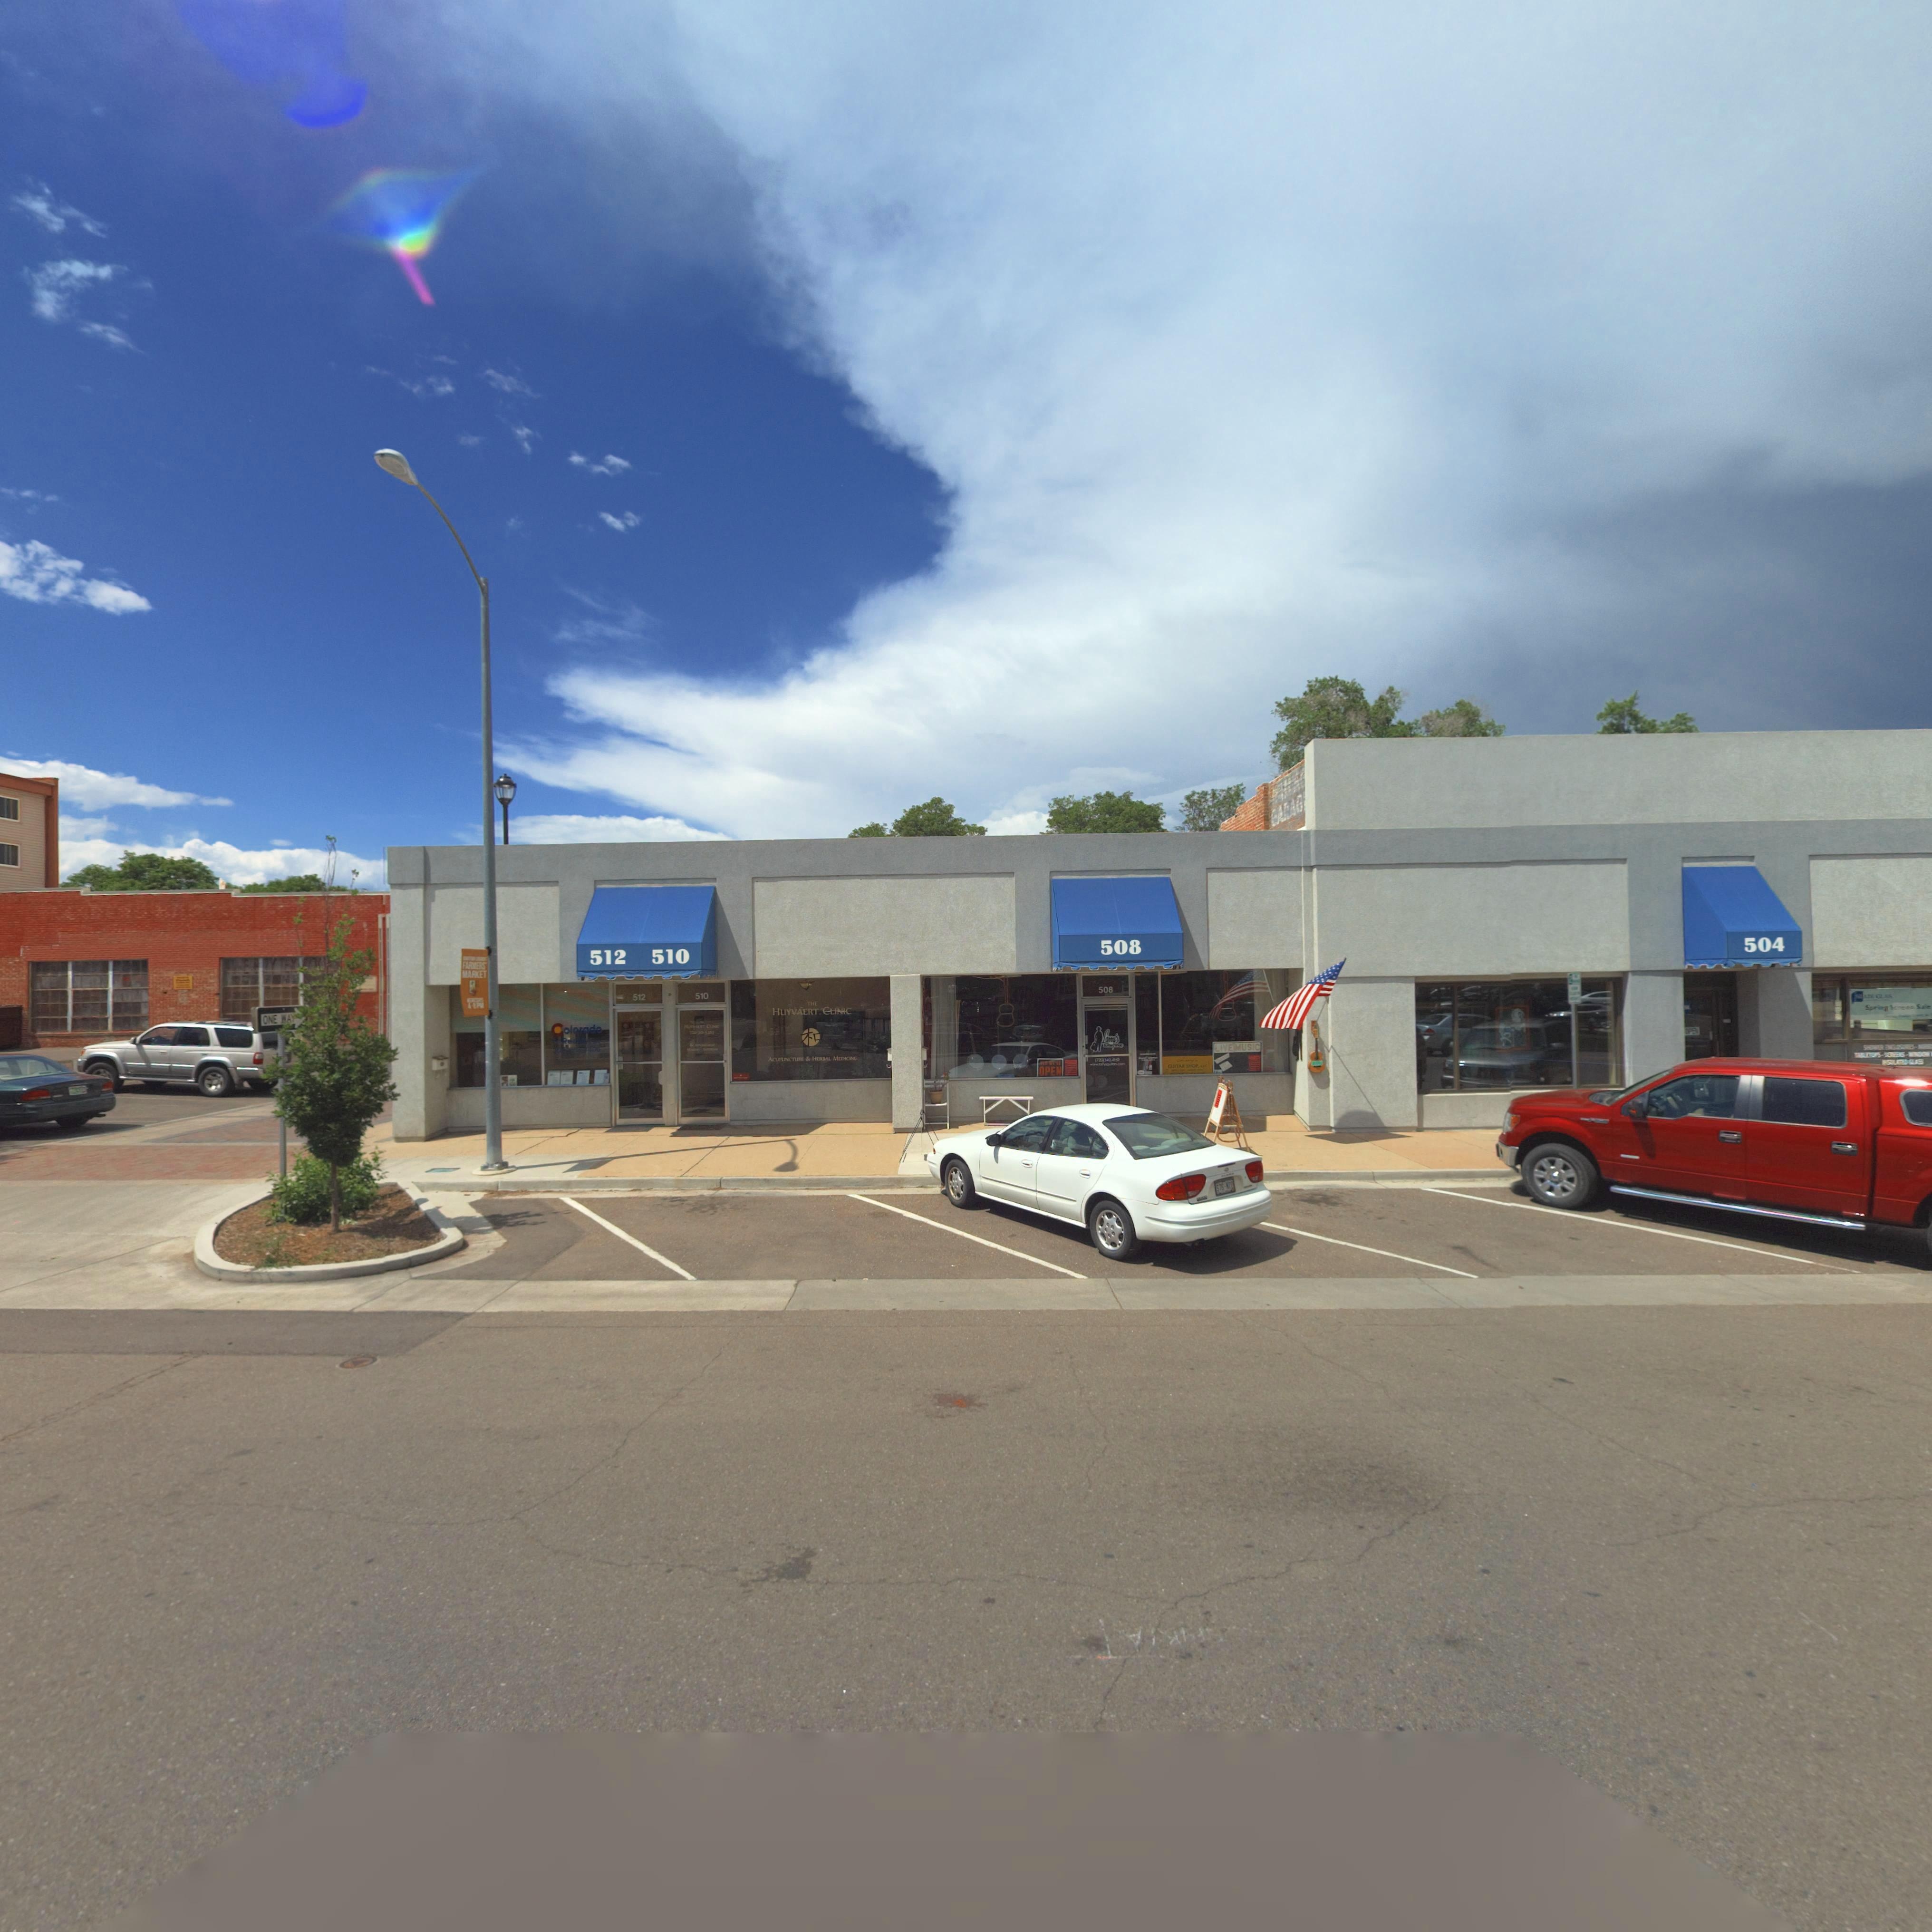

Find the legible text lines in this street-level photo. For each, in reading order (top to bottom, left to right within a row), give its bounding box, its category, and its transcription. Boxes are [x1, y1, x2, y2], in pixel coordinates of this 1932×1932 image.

[1101, 939, 1142, 955] StreetNumber: 508
[1744, 936, 1784, 952] BusinessName: 504
[589, 949, 626, 965] StreetNumber: 512
[651, 948, 690, 965] StreetNumber: 510
[1099, 986, 1113, 993] StreetNumber: 508
[632, 993, 646, 1001] StreetNumber: 512
[695, 992, 708, 999] StreetNumber: 510
[1855, 993, 1894, 999] BusinessName: SLADE GLASS
[807, 1001, 818, 1006] BusinessName: THE
[772, 1006, 852, 1015] BusinessName: HUYVAERT CLINIC
[551, 1022, 602, 1037] BusinessName: Colorado
[684, 1024, 719, 1029] BusinessName: HUYVAERT CLINIC
[1100, 1028, 1119, 1050] BusinessName: Larry's
[1101, 1028, 1120, 1050] BusinessName: Larry's
[1103, 1043, 1112, 1046] BusinessName: Gui***
[1114, 1043, 1123, 1047] BusinessName: Shop
[1177, 1056, 1198, 1063] BusinessName: Larry's
[1167, 1064, 1198, 1068] BusinessName: GUITAR SHOP